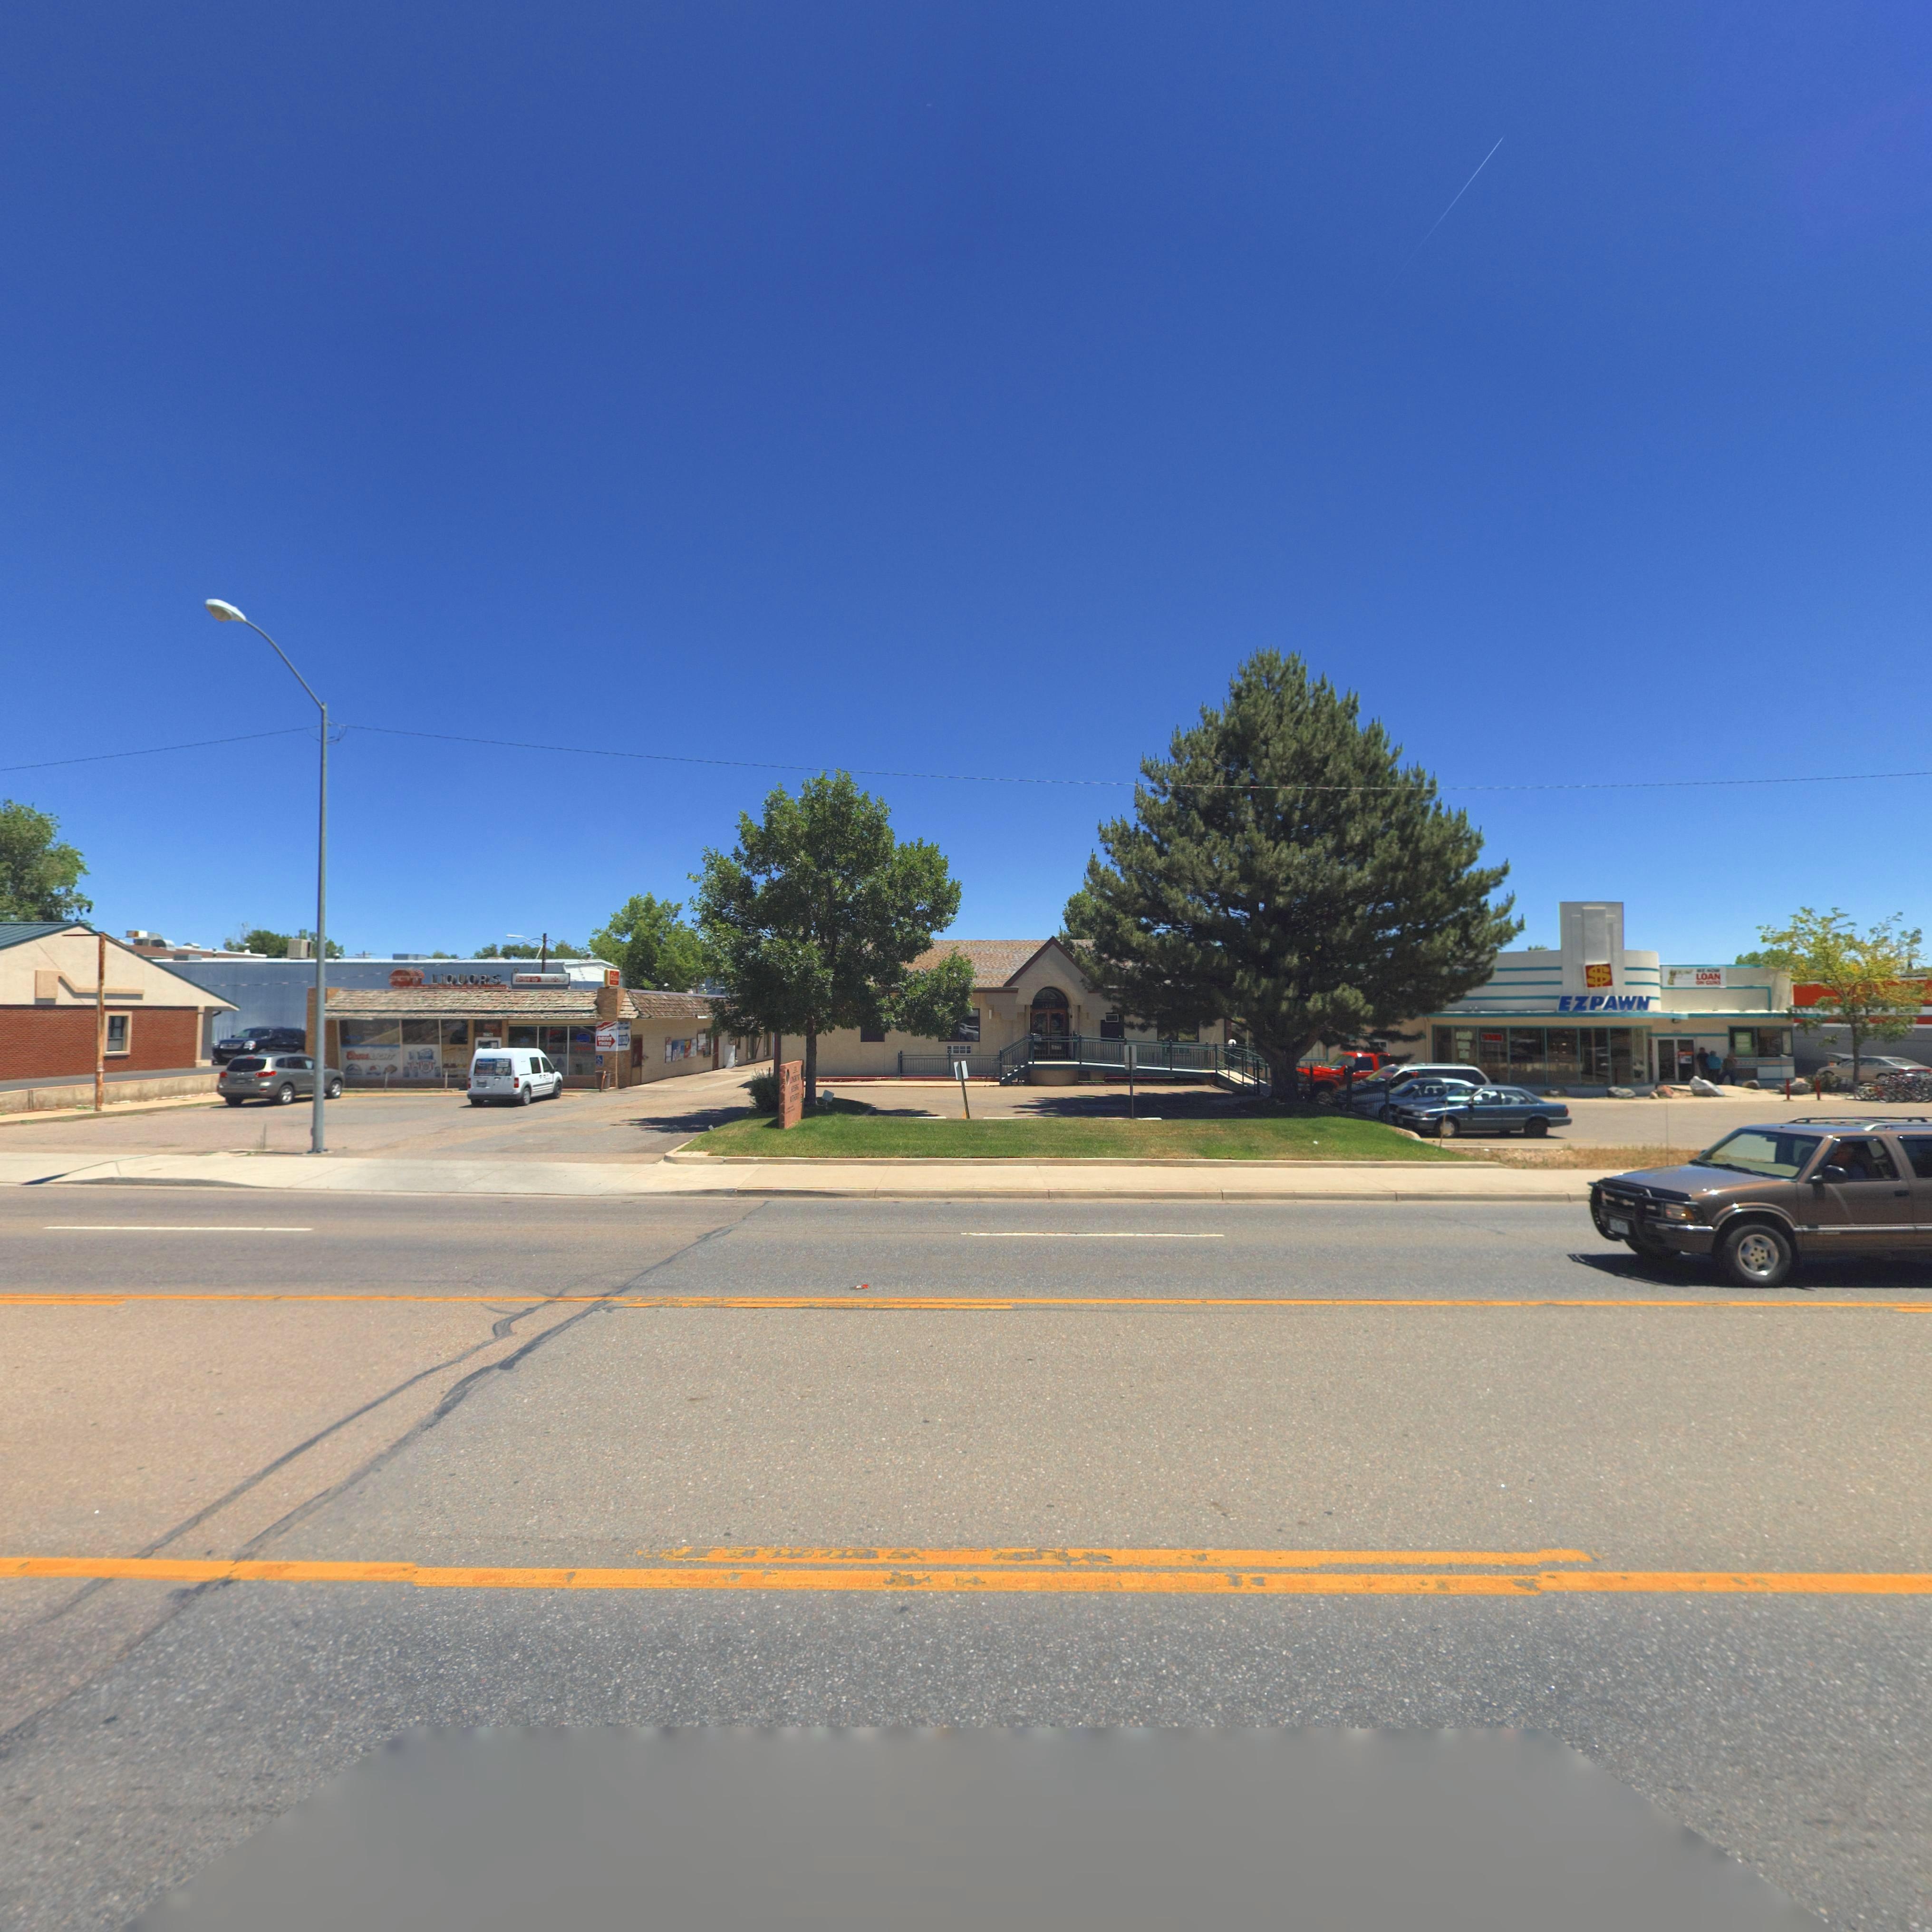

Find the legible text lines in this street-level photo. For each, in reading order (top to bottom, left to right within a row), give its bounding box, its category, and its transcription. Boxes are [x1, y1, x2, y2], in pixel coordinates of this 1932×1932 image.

[389, 975, 421, 983] BusinessName: QUALITY
[430, 973, 498, 985] BusinessName: LIQUORS
[1042, 1003, 1055, 1008] StreetNumber: 1228
[1559, 996, 1650, 1011] BusinessName: EZPAWH